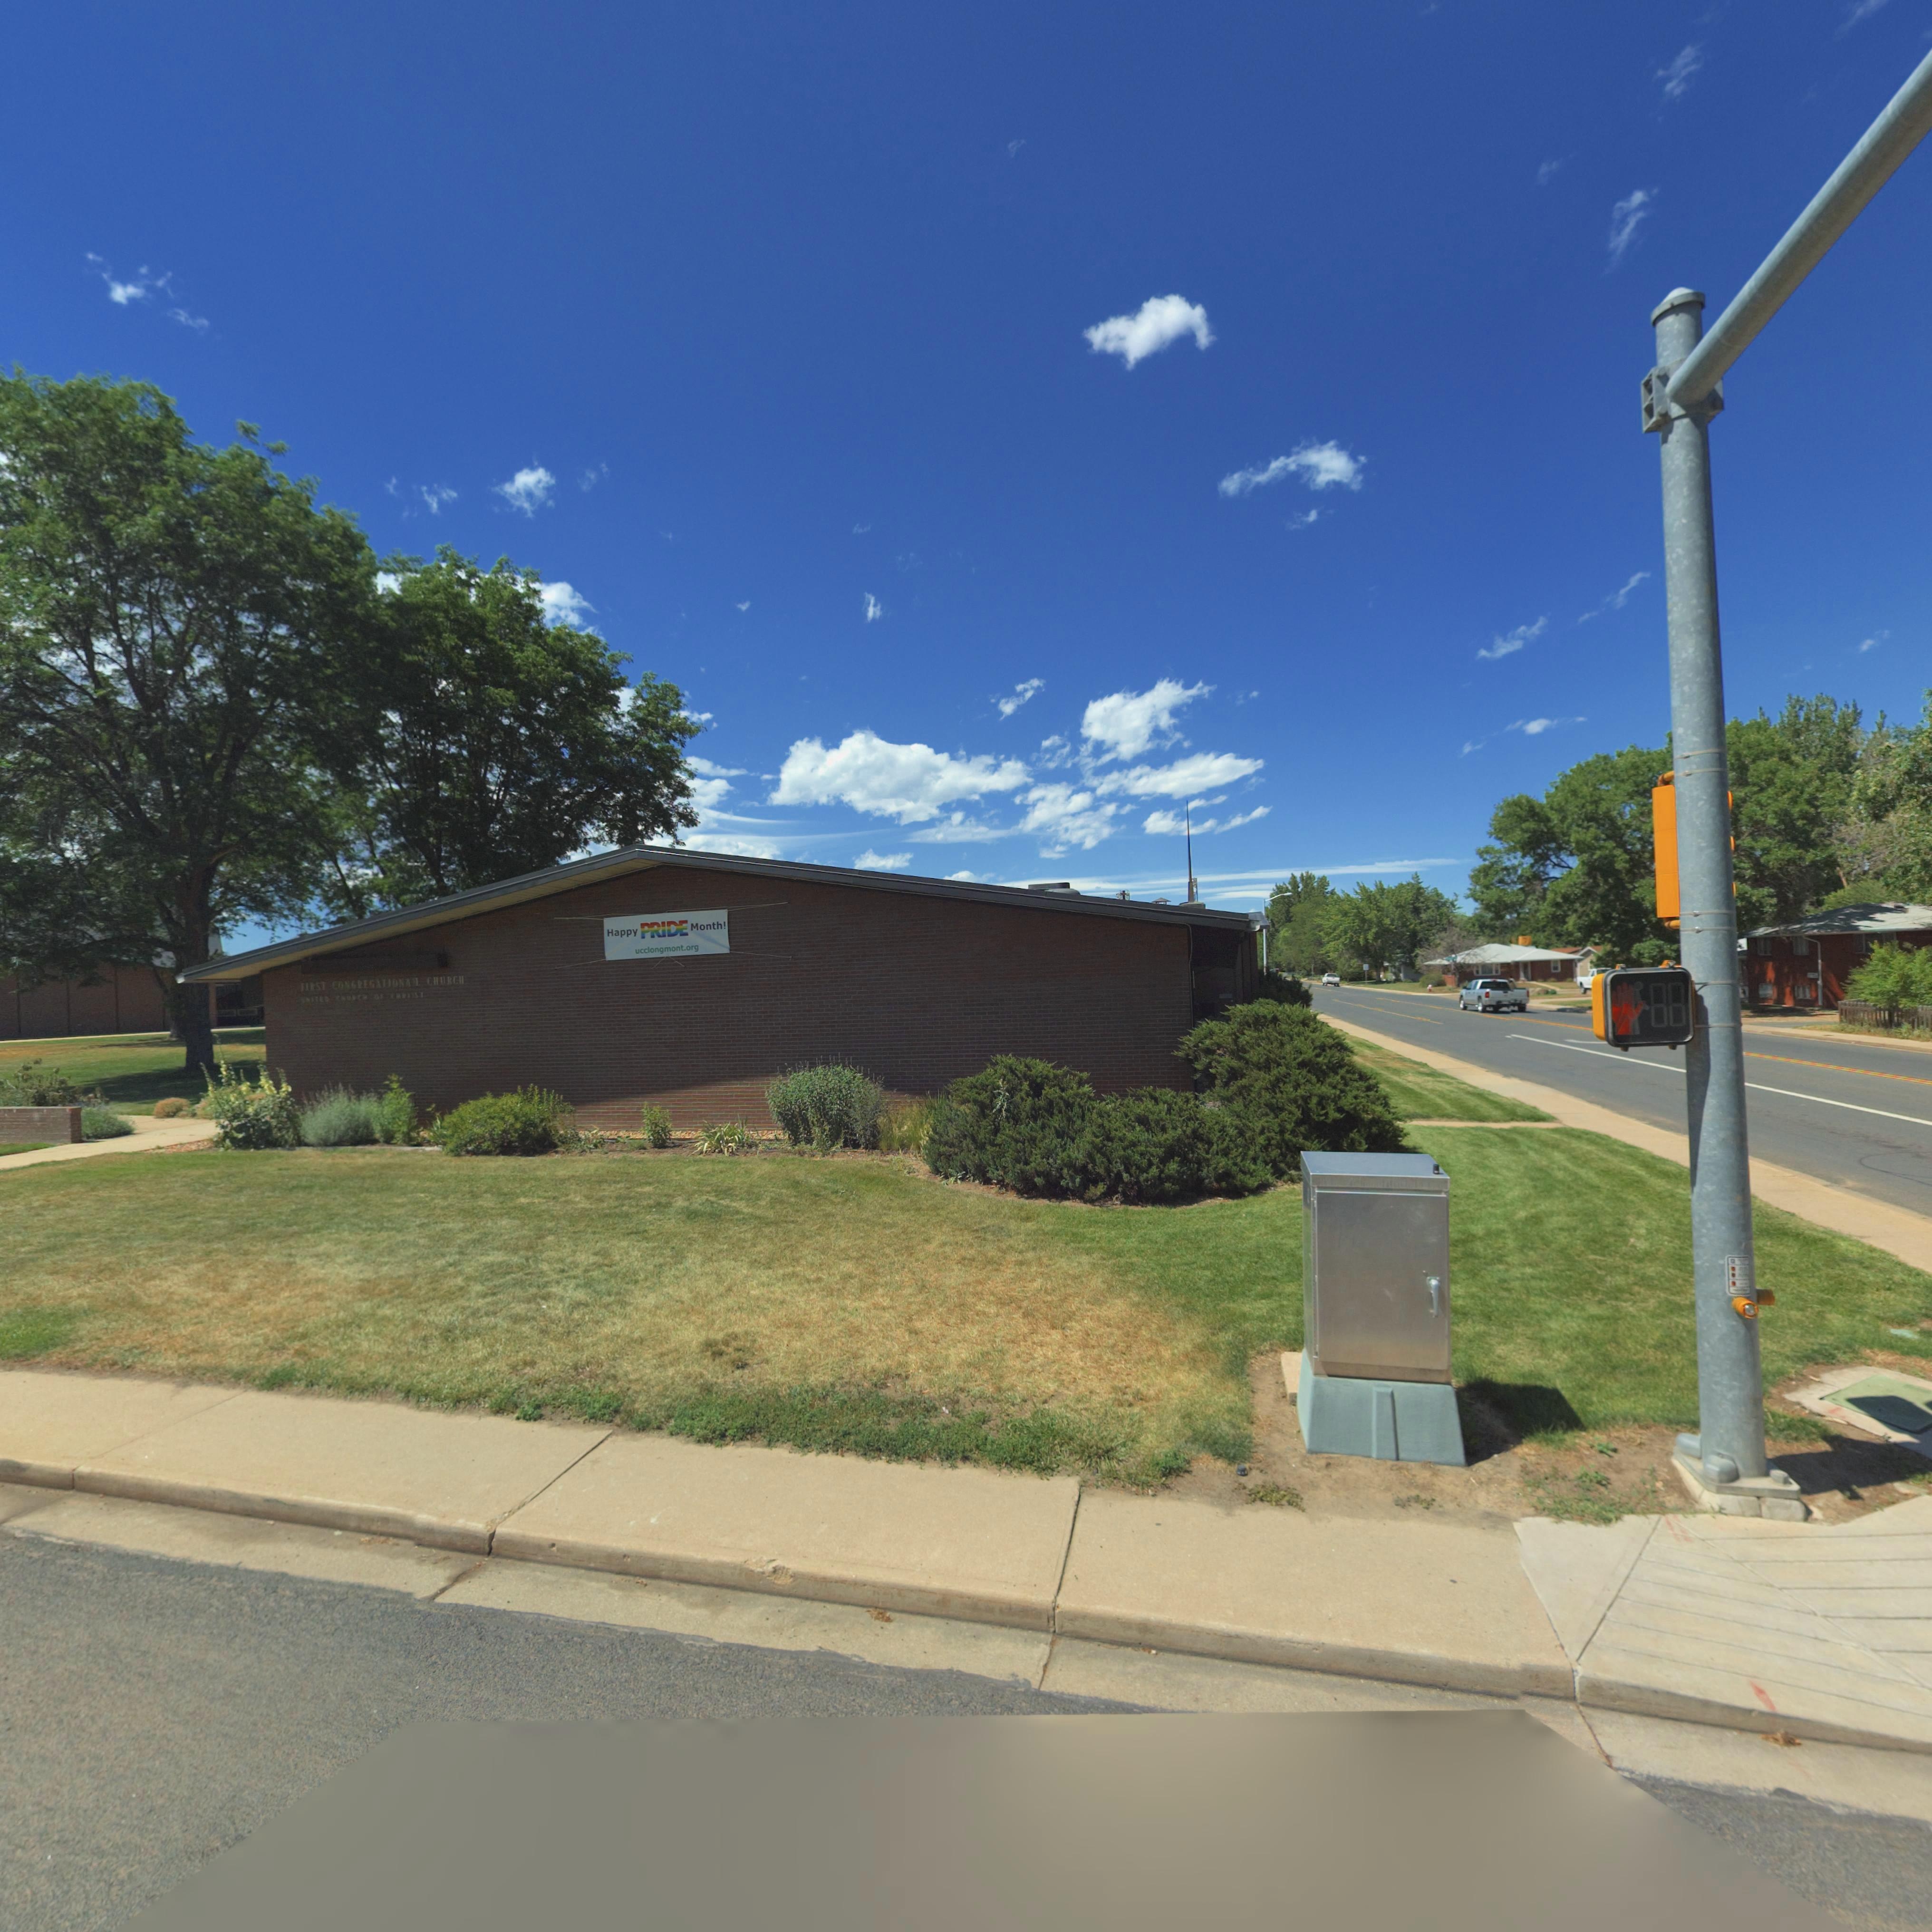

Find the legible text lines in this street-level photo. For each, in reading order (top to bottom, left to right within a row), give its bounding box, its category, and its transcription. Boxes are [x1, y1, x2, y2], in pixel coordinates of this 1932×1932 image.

[300, 975, 464, 991] BusinessName: FI*ST *O***EG***ON**L CHURCH